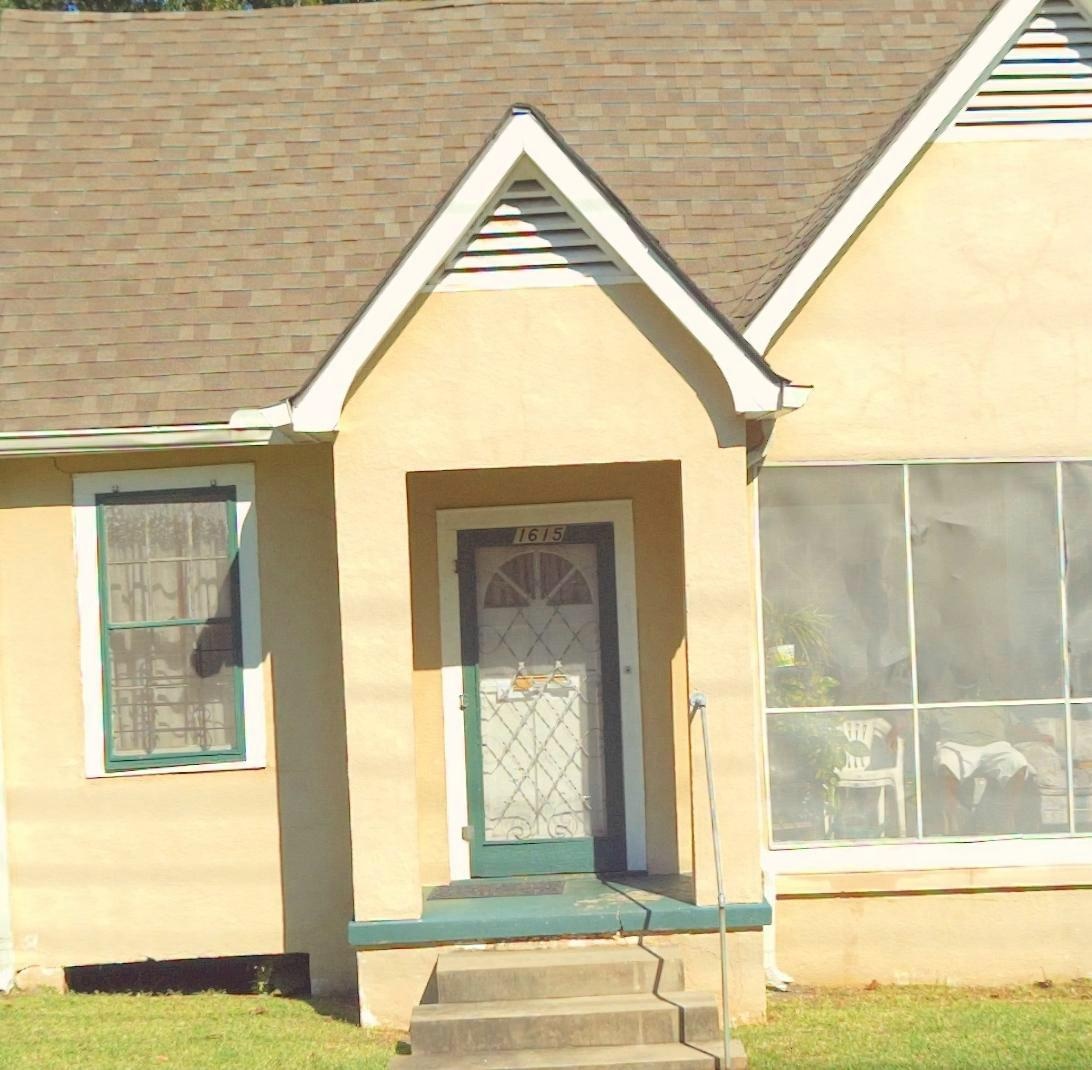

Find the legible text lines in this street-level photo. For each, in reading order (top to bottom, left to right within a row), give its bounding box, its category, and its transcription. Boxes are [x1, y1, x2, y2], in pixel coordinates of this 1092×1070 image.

[514, 525, 567, 544] StreetNumber: 1615